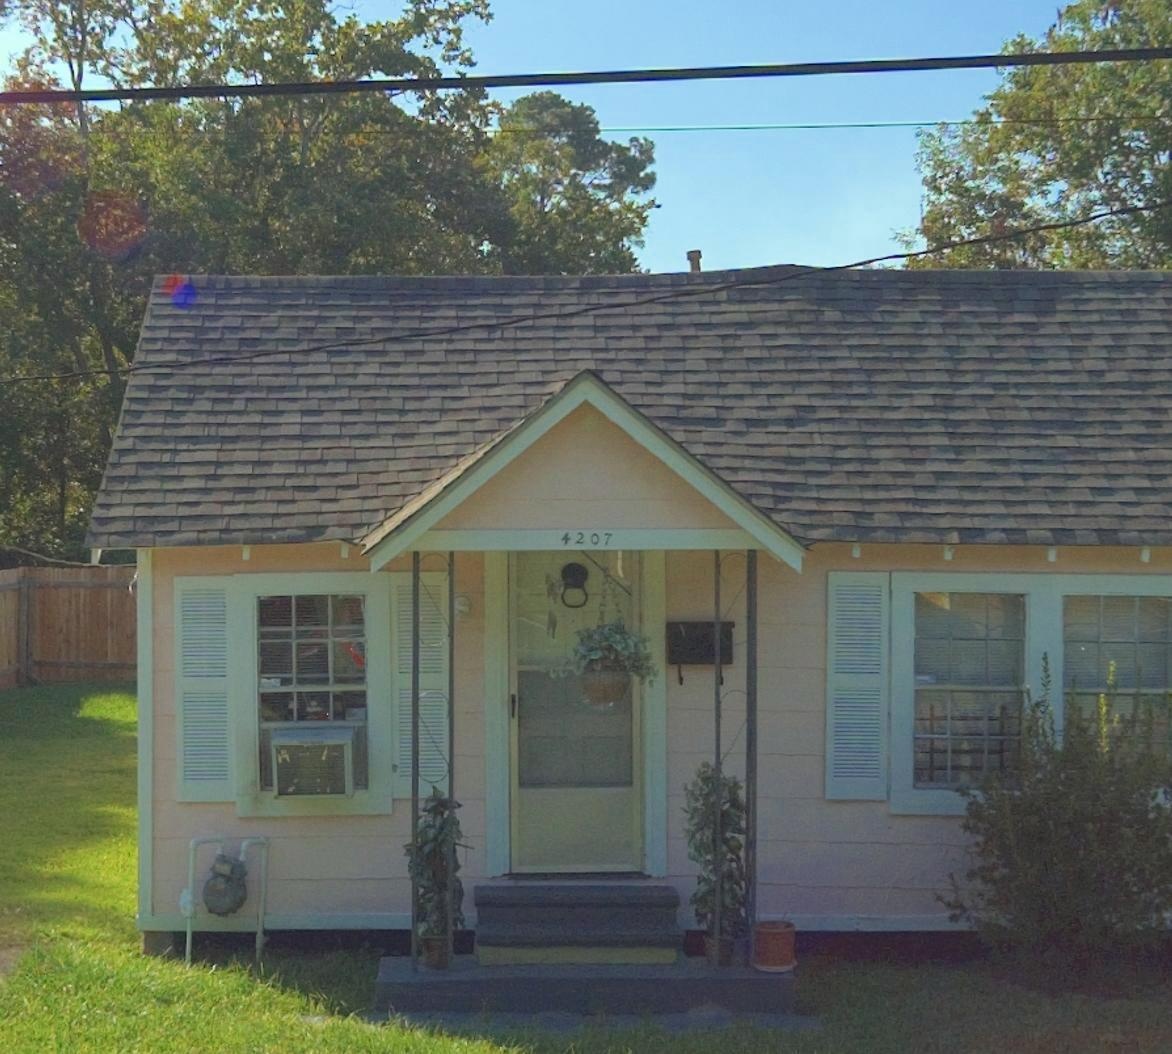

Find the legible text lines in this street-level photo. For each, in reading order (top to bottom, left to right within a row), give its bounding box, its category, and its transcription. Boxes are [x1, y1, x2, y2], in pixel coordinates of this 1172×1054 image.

[560, 531, 614, 546] StreetNumber: 4207